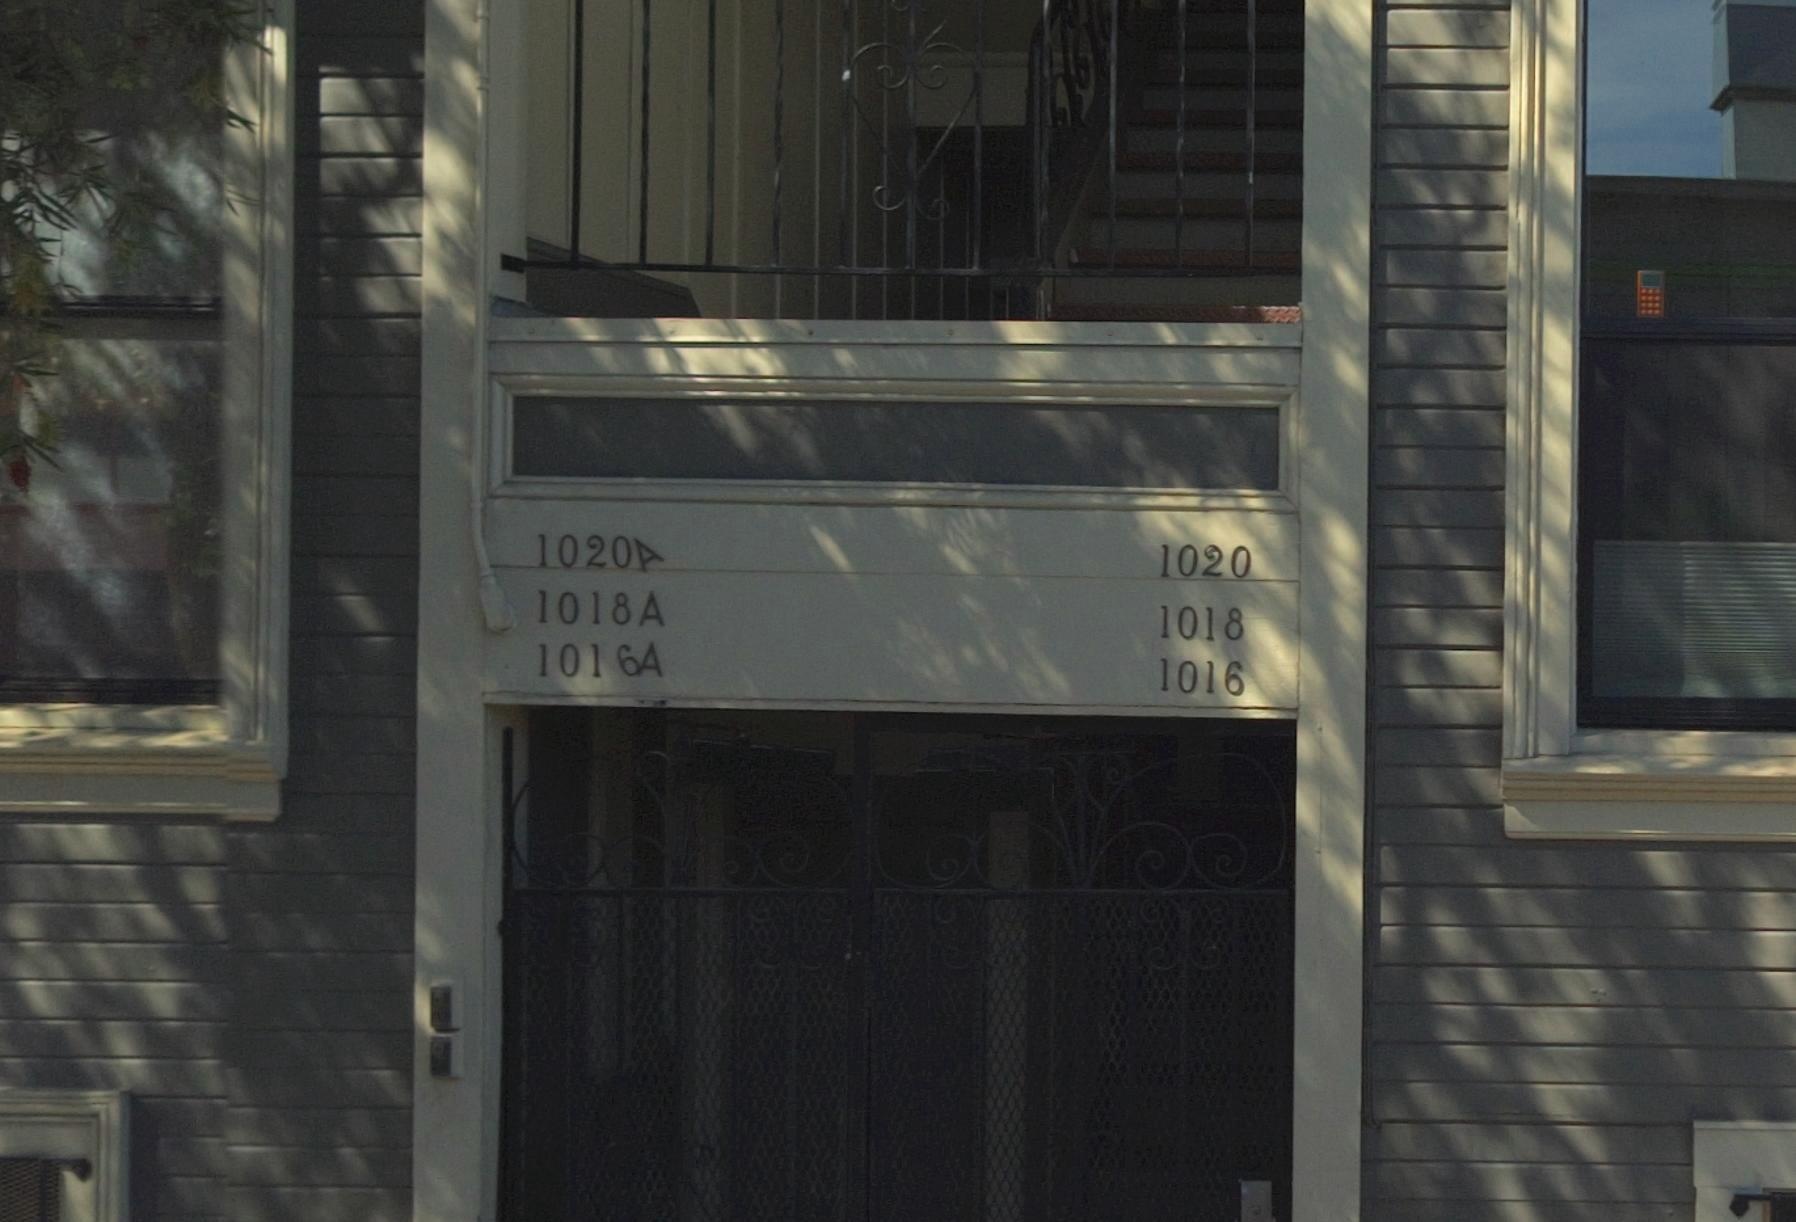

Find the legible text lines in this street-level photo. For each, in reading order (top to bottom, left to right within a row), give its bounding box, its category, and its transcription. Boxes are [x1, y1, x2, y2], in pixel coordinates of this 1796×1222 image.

[533, 526, 676, 577] StreetNumber: 1020A
[1155, 538, 1257, 586] StreetNumber: 1020
[533, 584, 671, 633] StreetNumber: 1018A
[1156, 599, 1250, 647] StreetNumber: 1018
[535, 638, 668, 681] StreetNumber: 1016A
[1156, 652, 1251, 701] StreetNumber: 1016